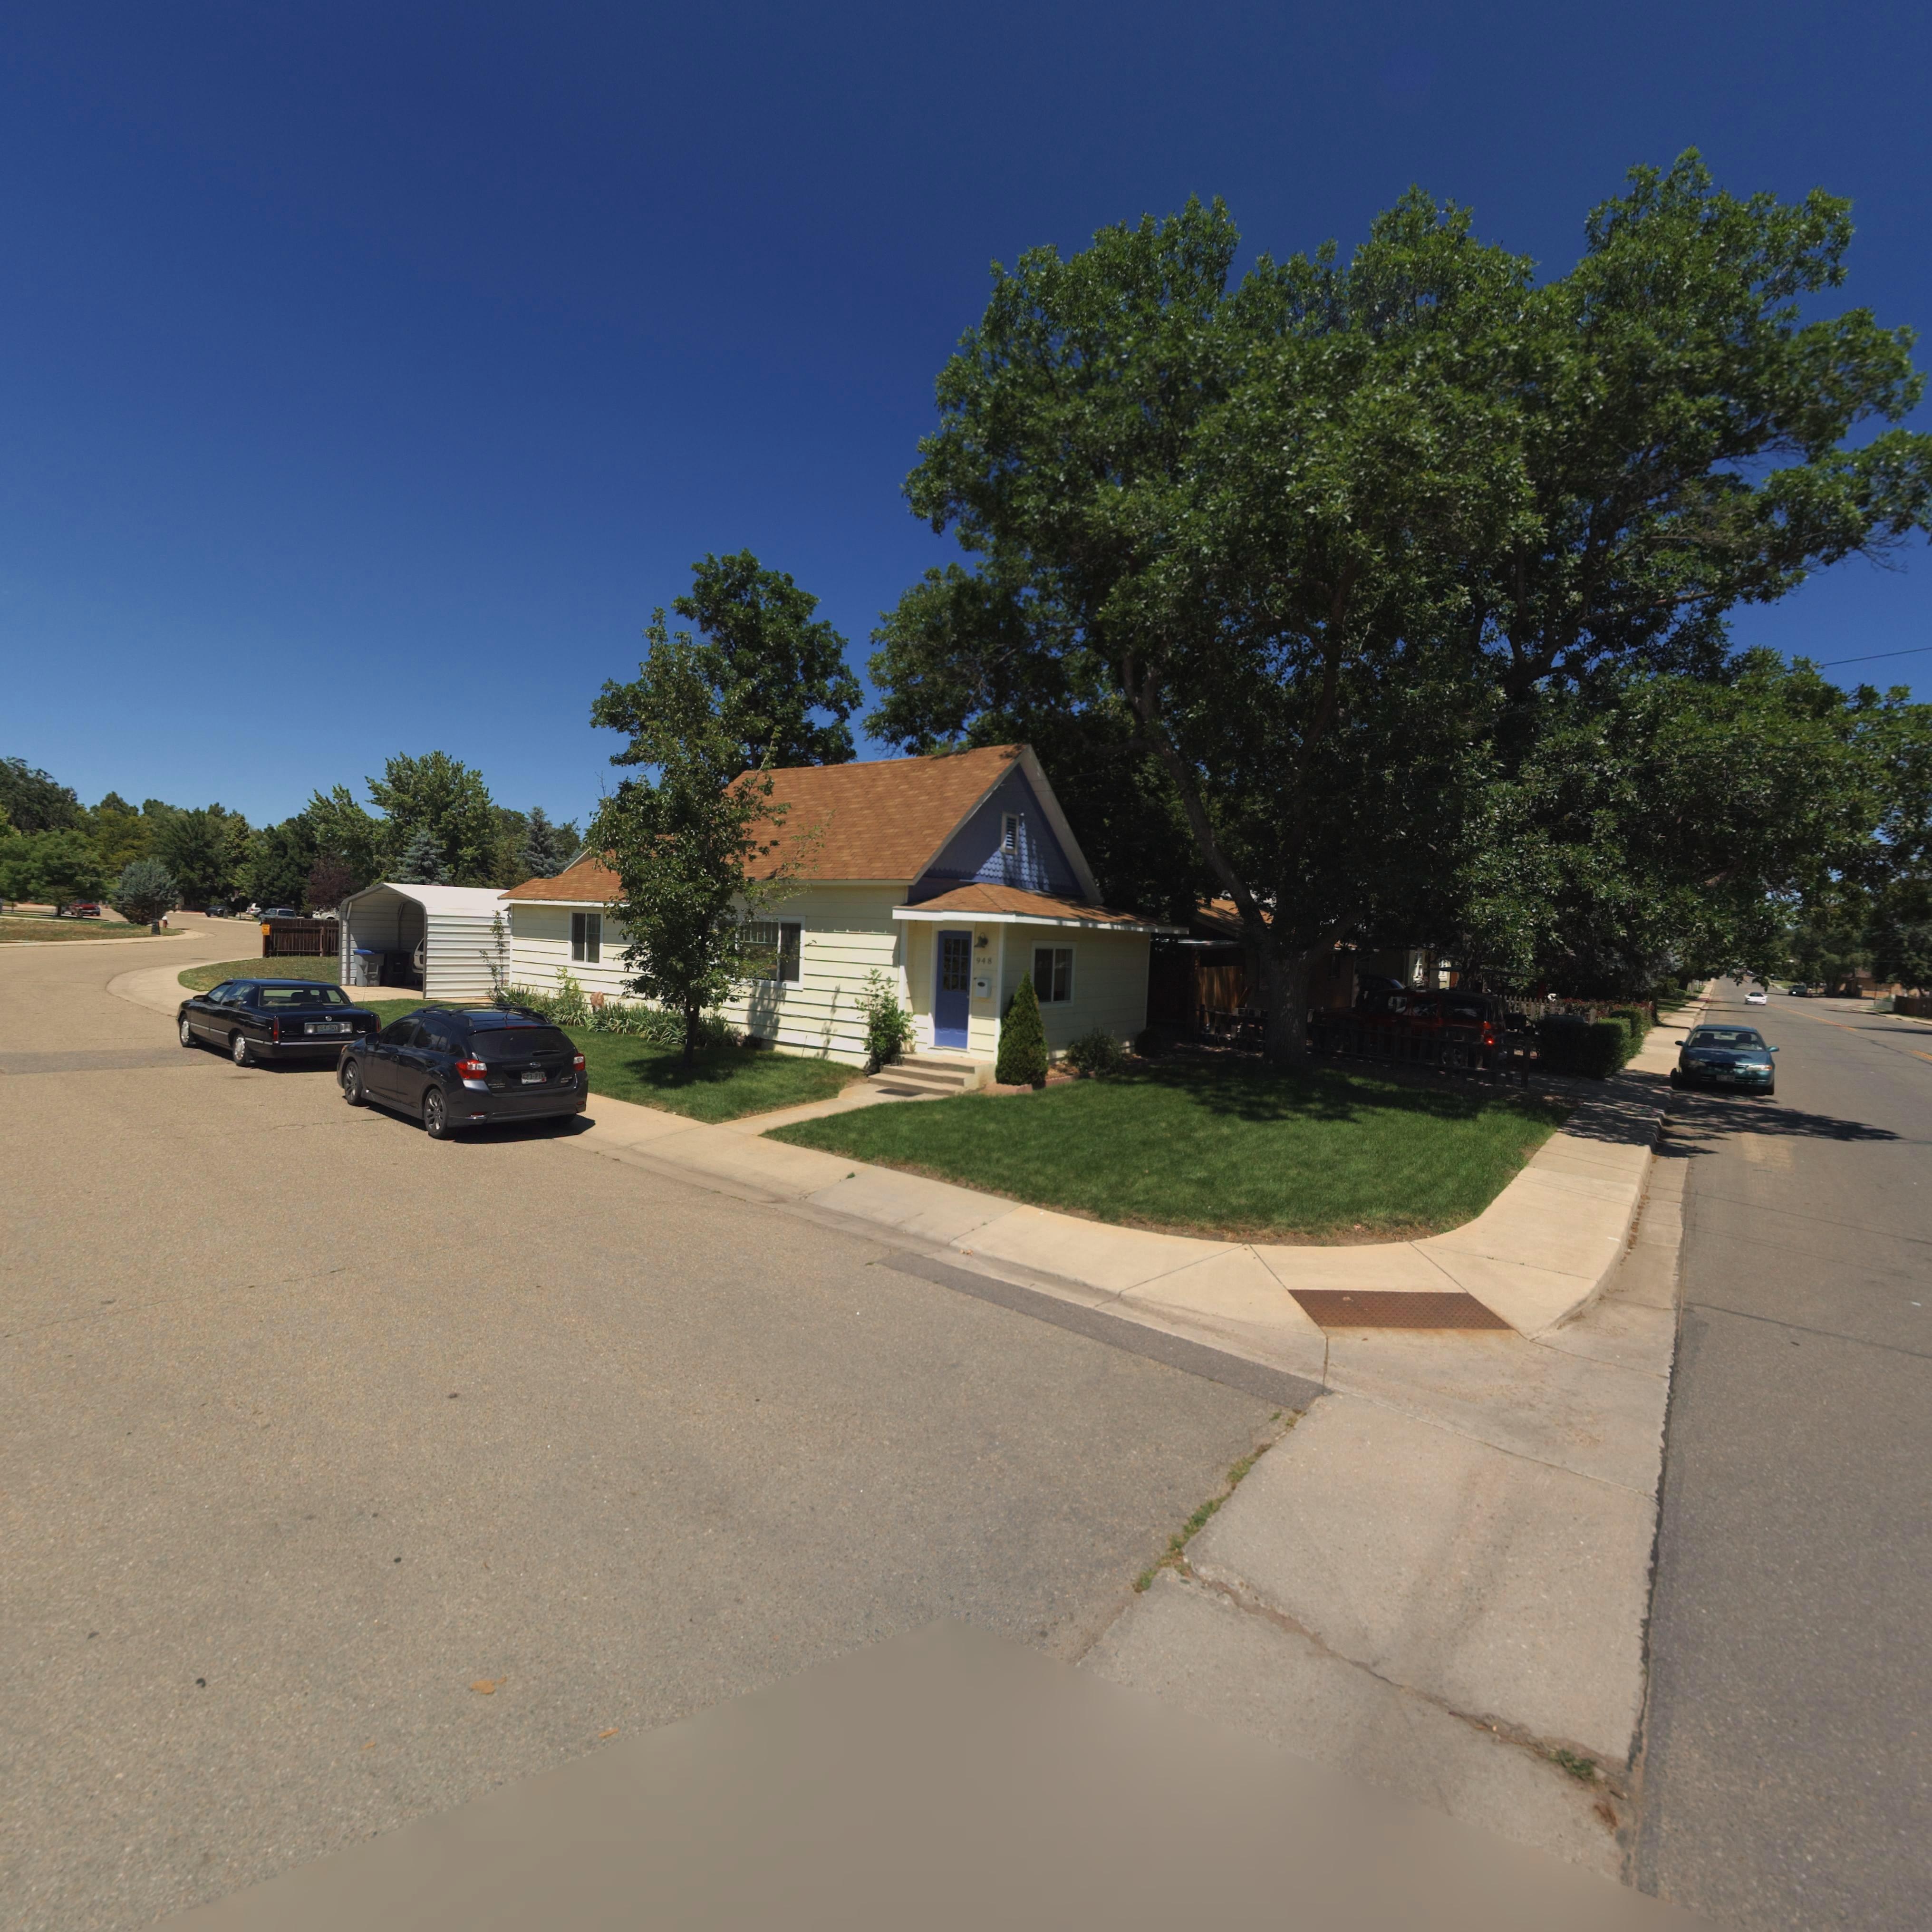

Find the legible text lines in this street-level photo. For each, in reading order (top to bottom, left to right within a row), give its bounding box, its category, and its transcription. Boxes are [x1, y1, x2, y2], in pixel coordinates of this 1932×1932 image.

[976, 956, 992, 965] StreetNumber: 948